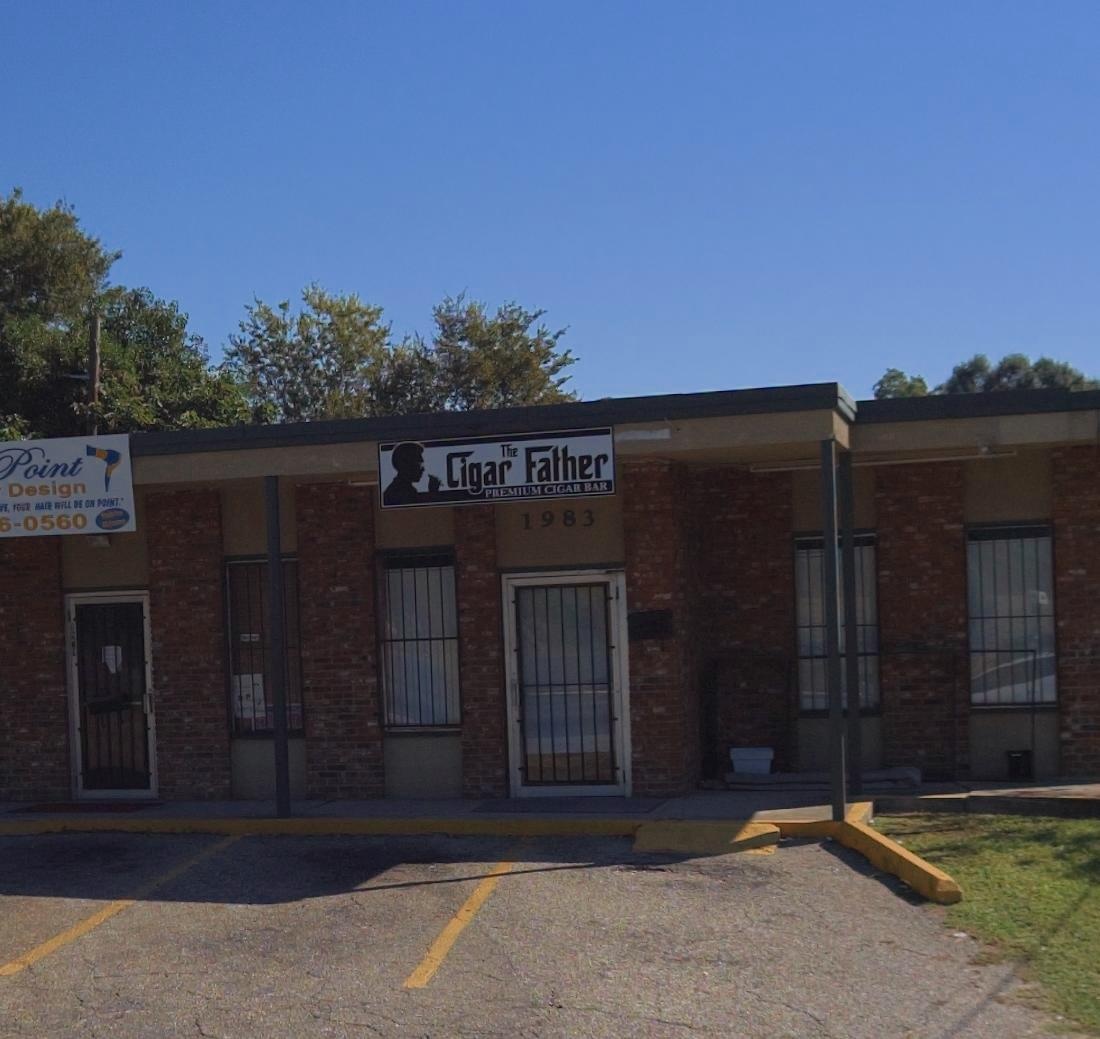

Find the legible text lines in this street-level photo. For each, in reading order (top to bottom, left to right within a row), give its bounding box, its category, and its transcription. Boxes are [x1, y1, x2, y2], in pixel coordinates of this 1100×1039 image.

[0, 444, 89, 483] BusinessName: Point
[499, 442, 520, 460] BusinessName: The
[444, 443, 612, 496] BusinessName: Cigar Father
[7, 478, 91, 503] BusinessName: Design
[483, 479, 610, 500] None: PREMIUM CIGAR BAR
[11, 496, 123, 514] None: YOUR HAIR WILL BE ON POINT
[21, 511, 90, 532] None: 0560
[521, 507, 597, 532] StreetNumber: 1983